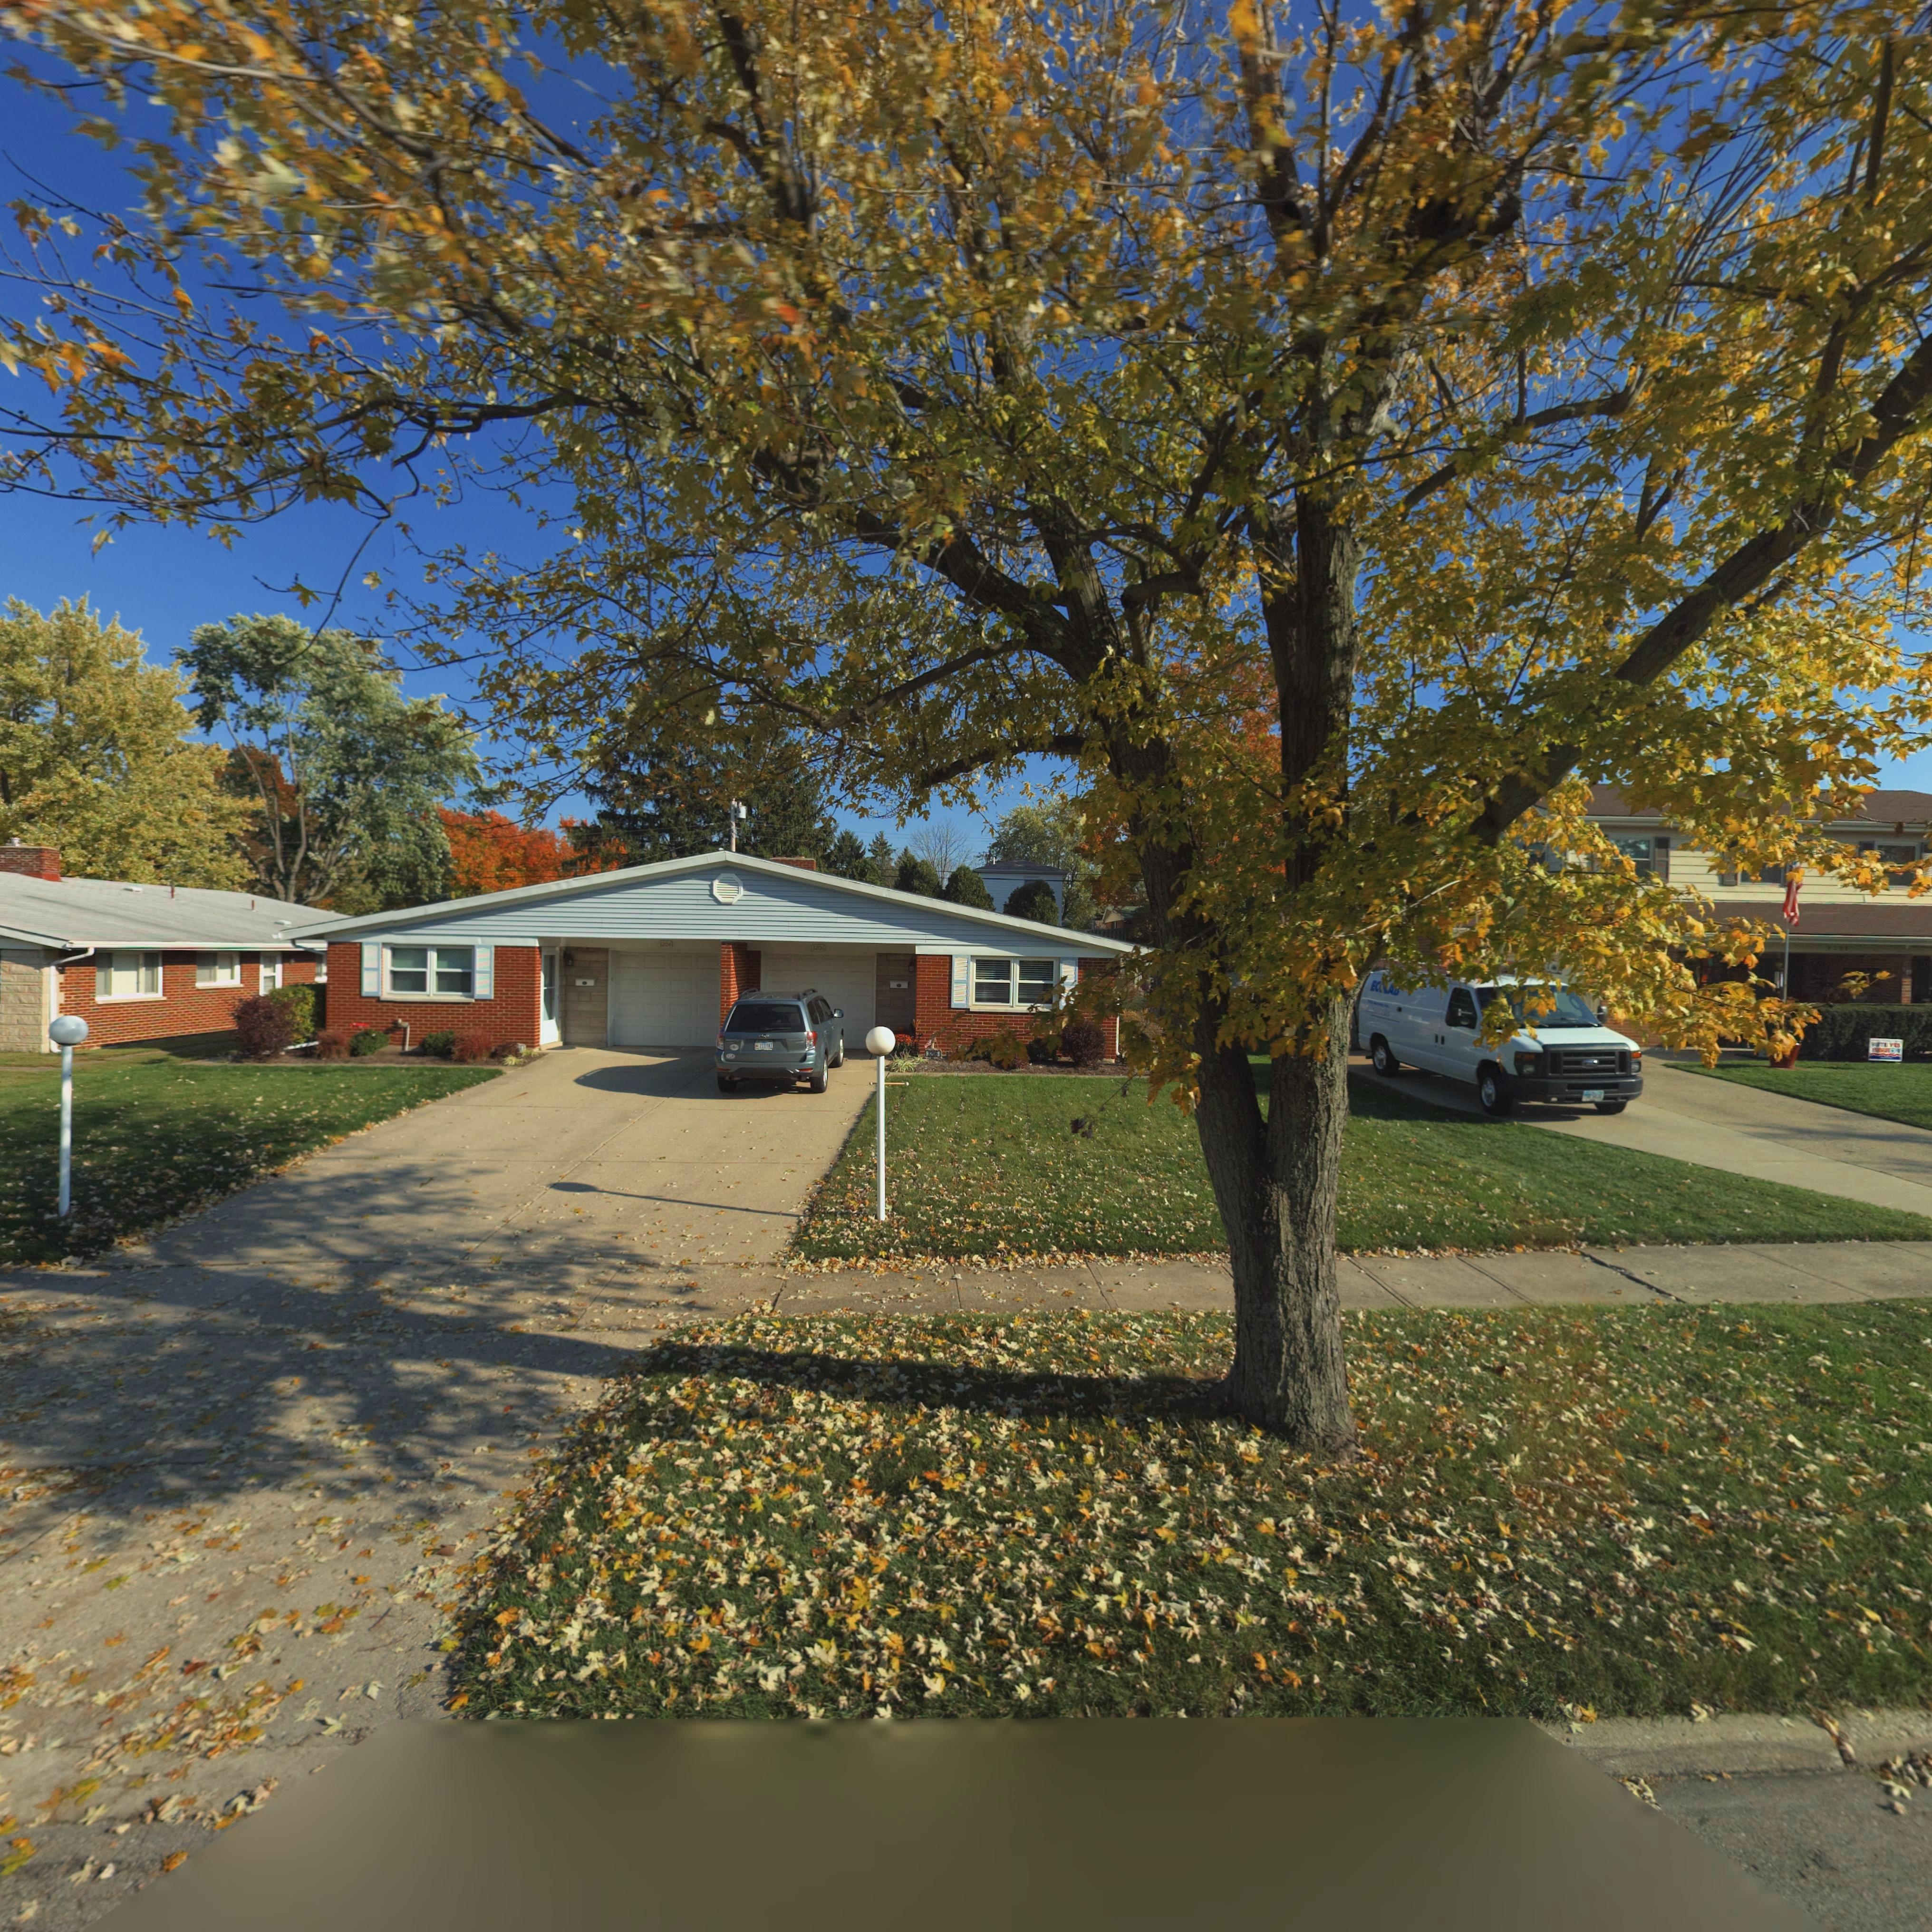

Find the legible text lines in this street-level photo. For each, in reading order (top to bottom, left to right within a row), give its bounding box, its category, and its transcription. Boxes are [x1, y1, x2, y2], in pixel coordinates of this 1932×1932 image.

[658, 941, 671, 947] StreetNumber: 3204
[811, 944, 824, 950] StreetNumber: 3206
[1826, 945, 1848, 951] StreetNumber: 3208